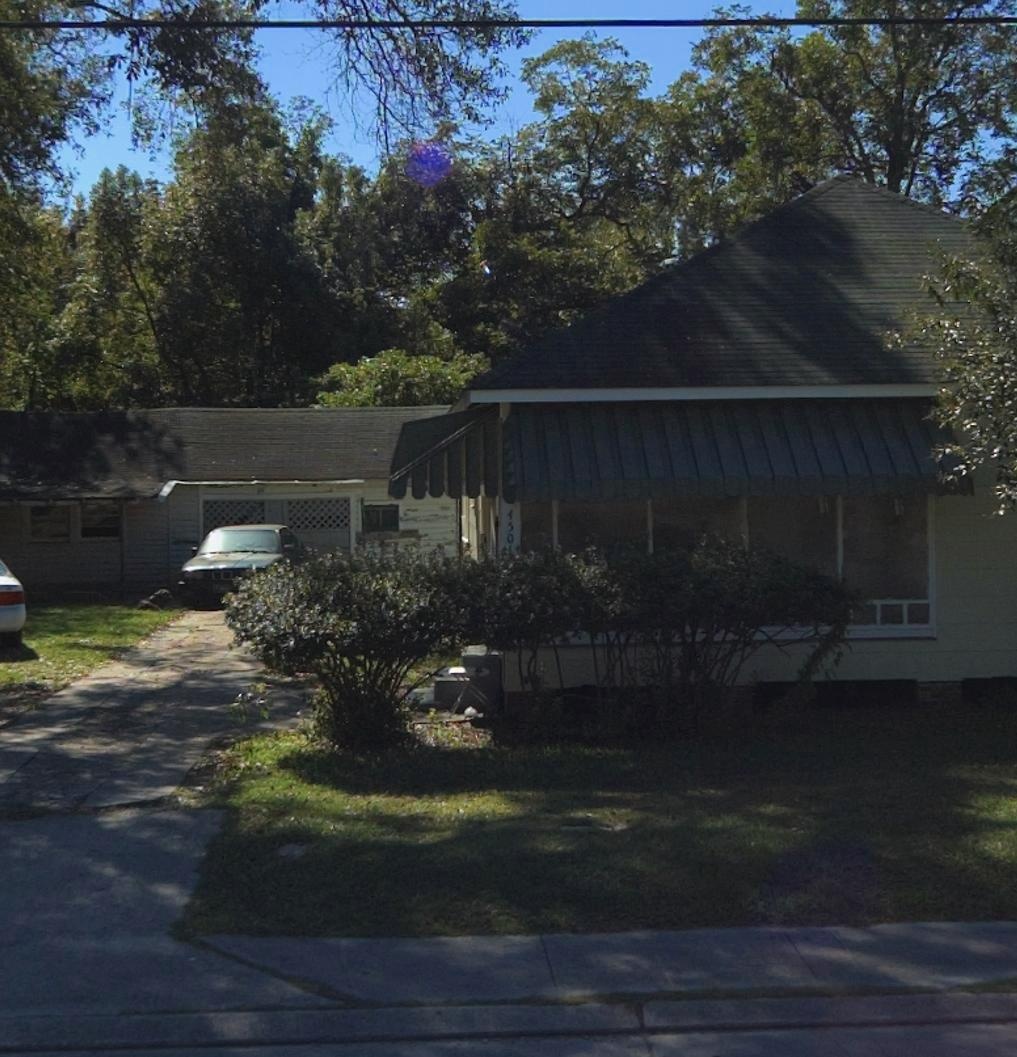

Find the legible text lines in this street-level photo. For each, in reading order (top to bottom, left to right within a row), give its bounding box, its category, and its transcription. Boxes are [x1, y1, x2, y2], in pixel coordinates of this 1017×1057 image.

[505, 508, 515, 560] StreetNumber: 4*0*